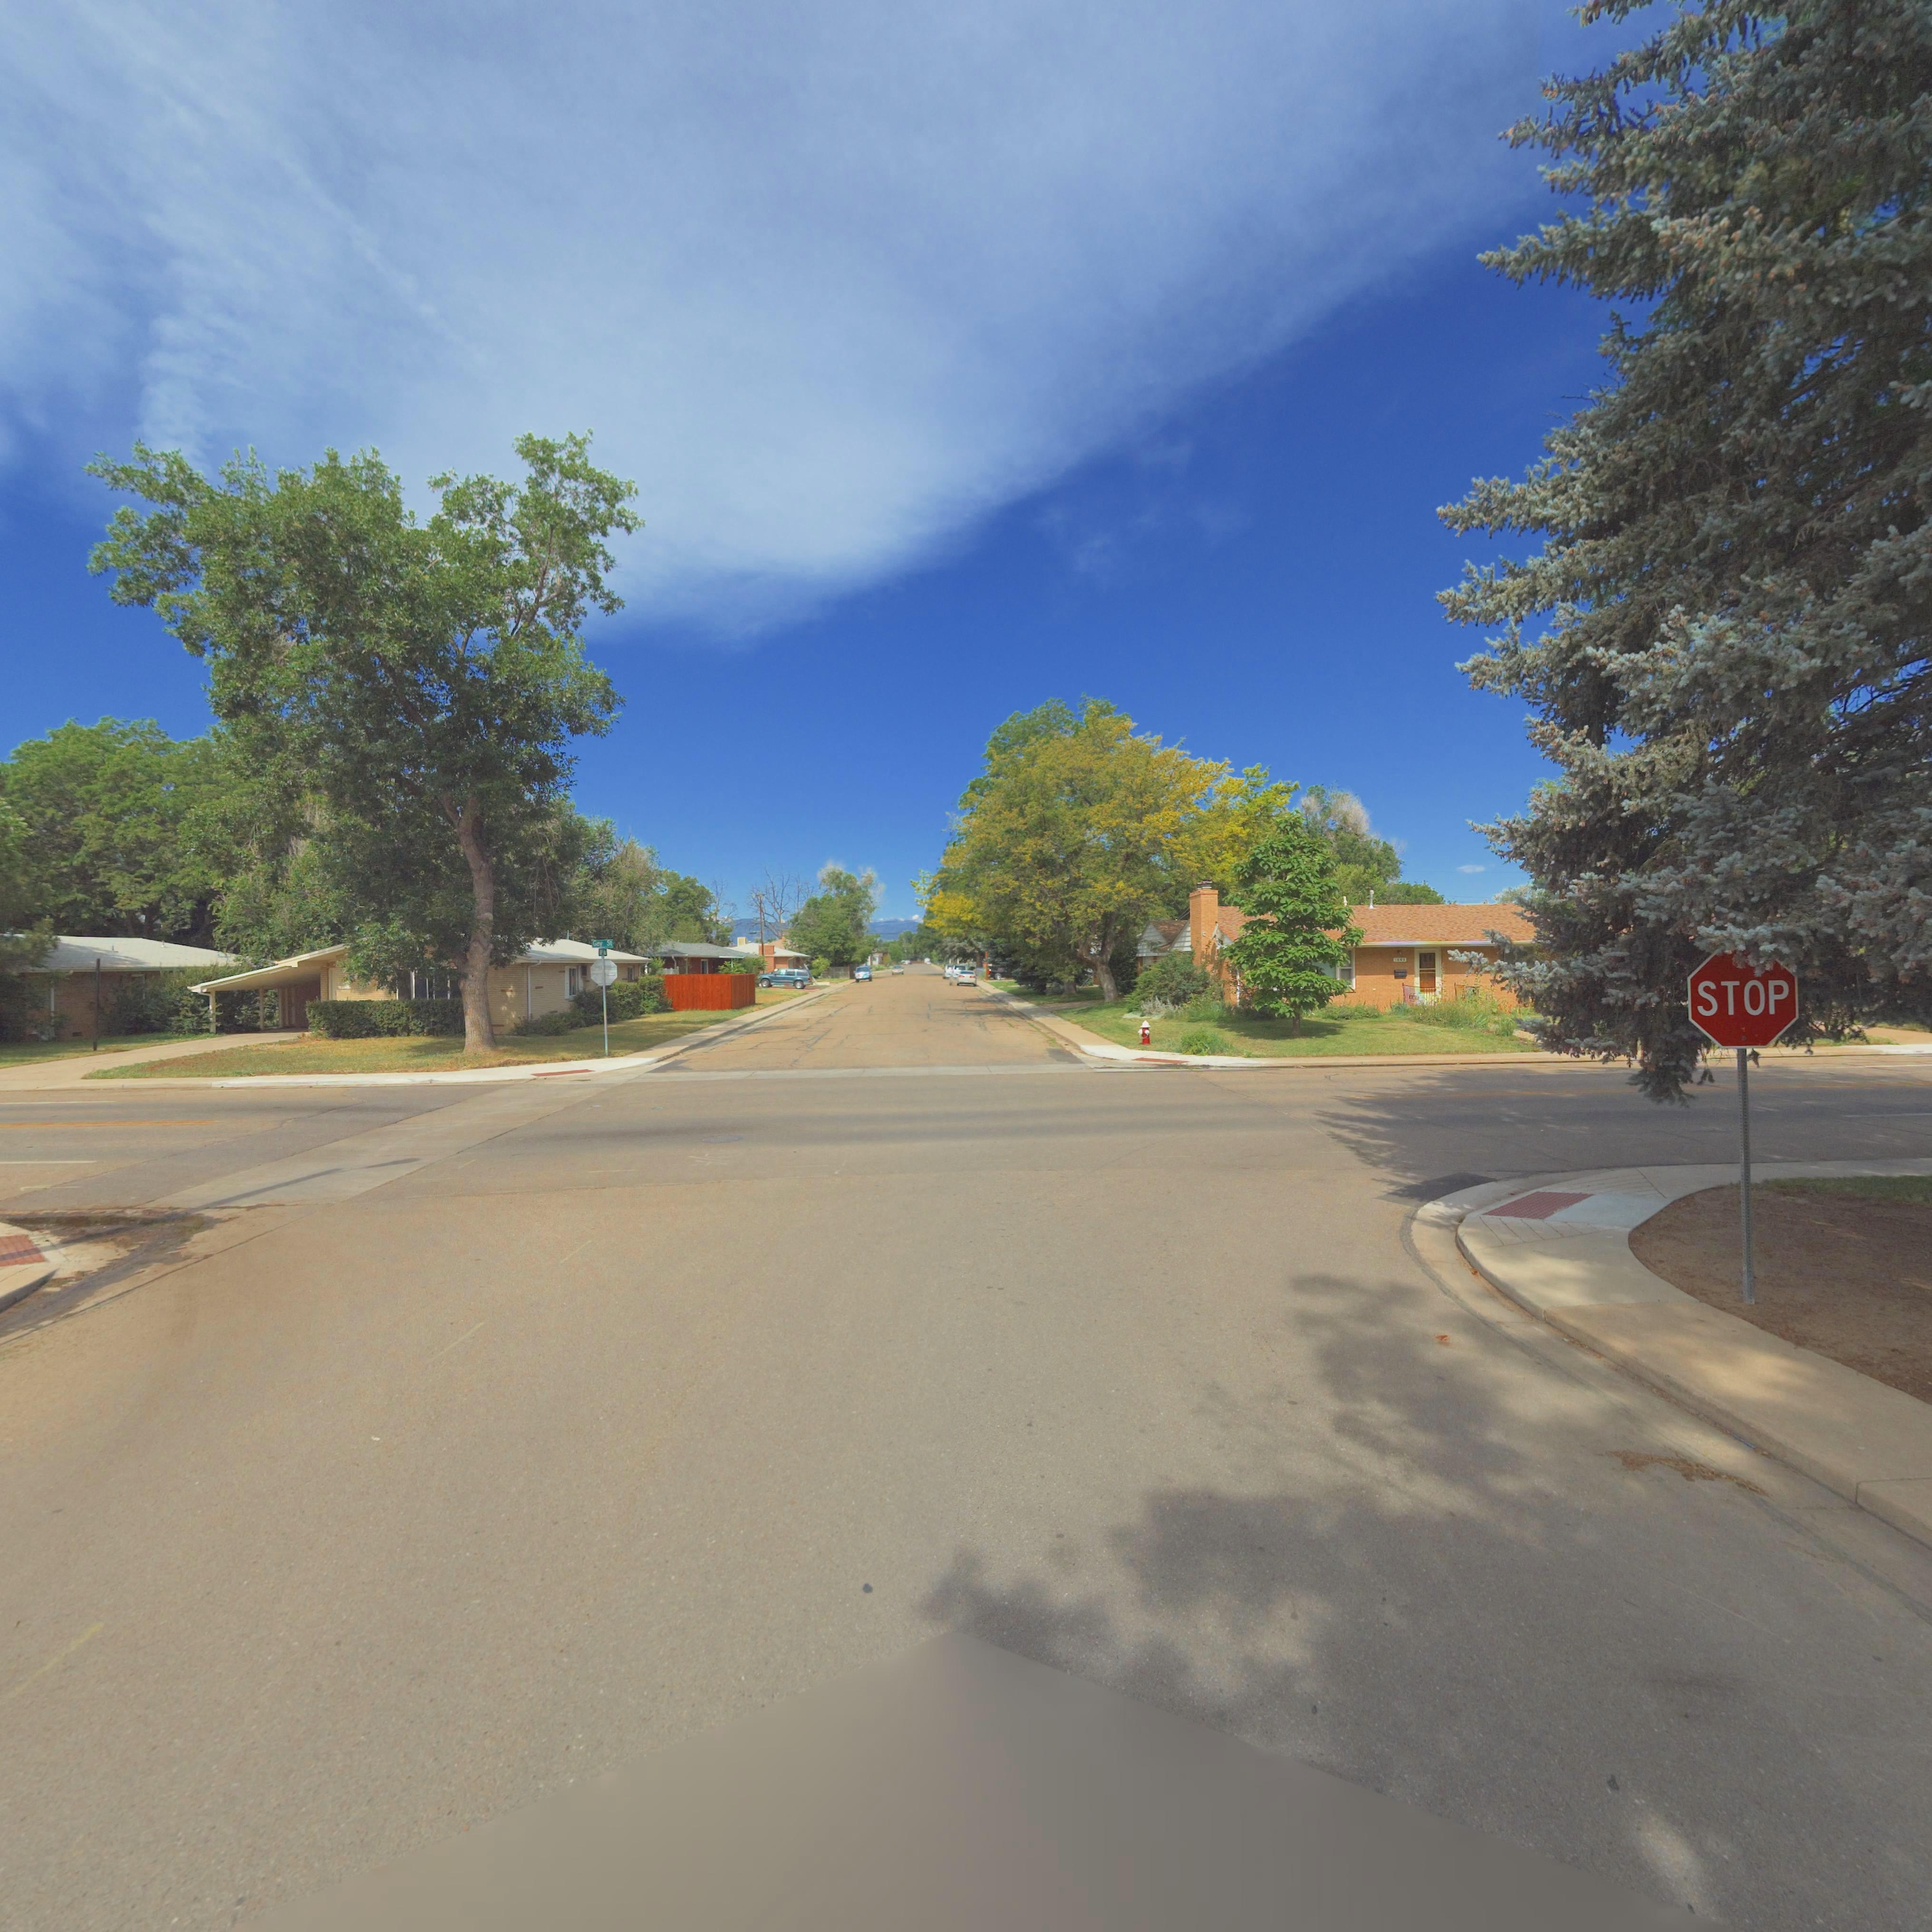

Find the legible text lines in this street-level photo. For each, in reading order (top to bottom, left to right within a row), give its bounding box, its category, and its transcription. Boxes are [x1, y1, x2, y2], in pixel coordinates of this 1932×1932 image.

[593, 939, 613, 947] StreetName:  Gay St
[1394, 958, 1405, 961] StreetNumber: 1*0*